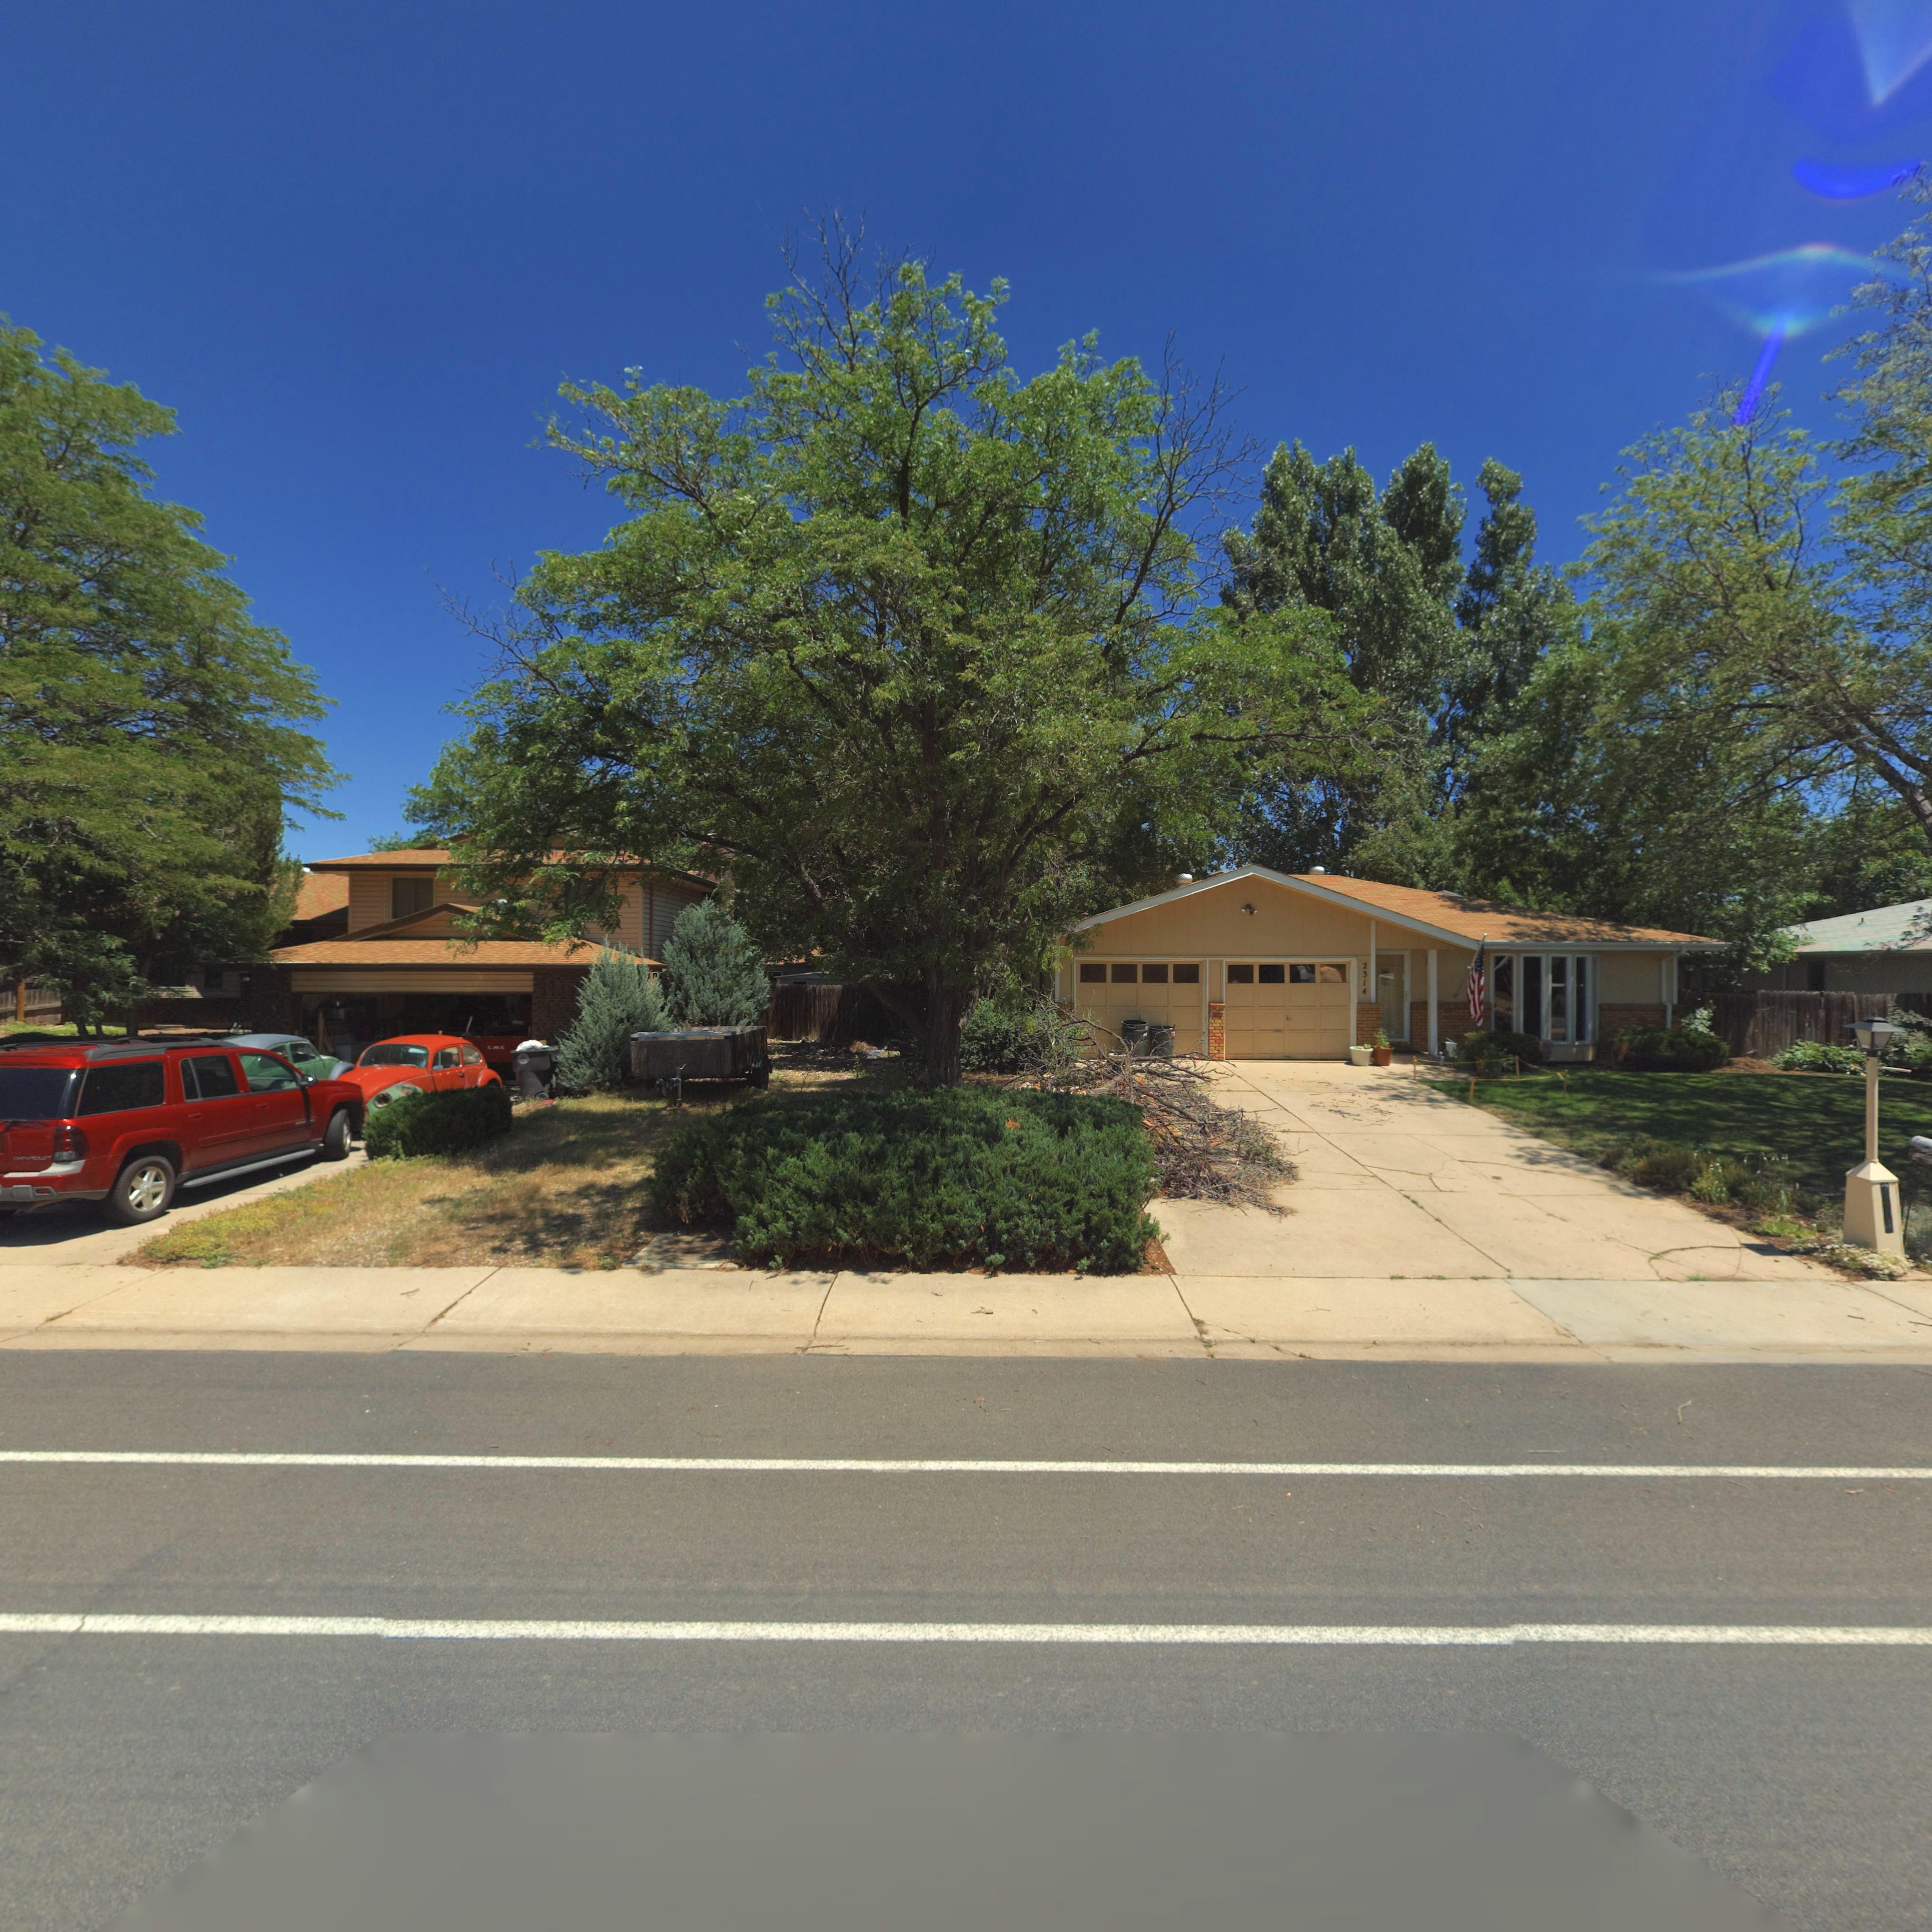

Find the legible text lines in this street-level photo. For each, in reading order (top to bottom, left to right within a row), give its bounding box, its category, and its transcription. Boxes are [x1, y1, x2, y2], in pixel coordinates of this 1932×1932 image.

[1362, 962, 1367, 996] StreetNumber: 2314